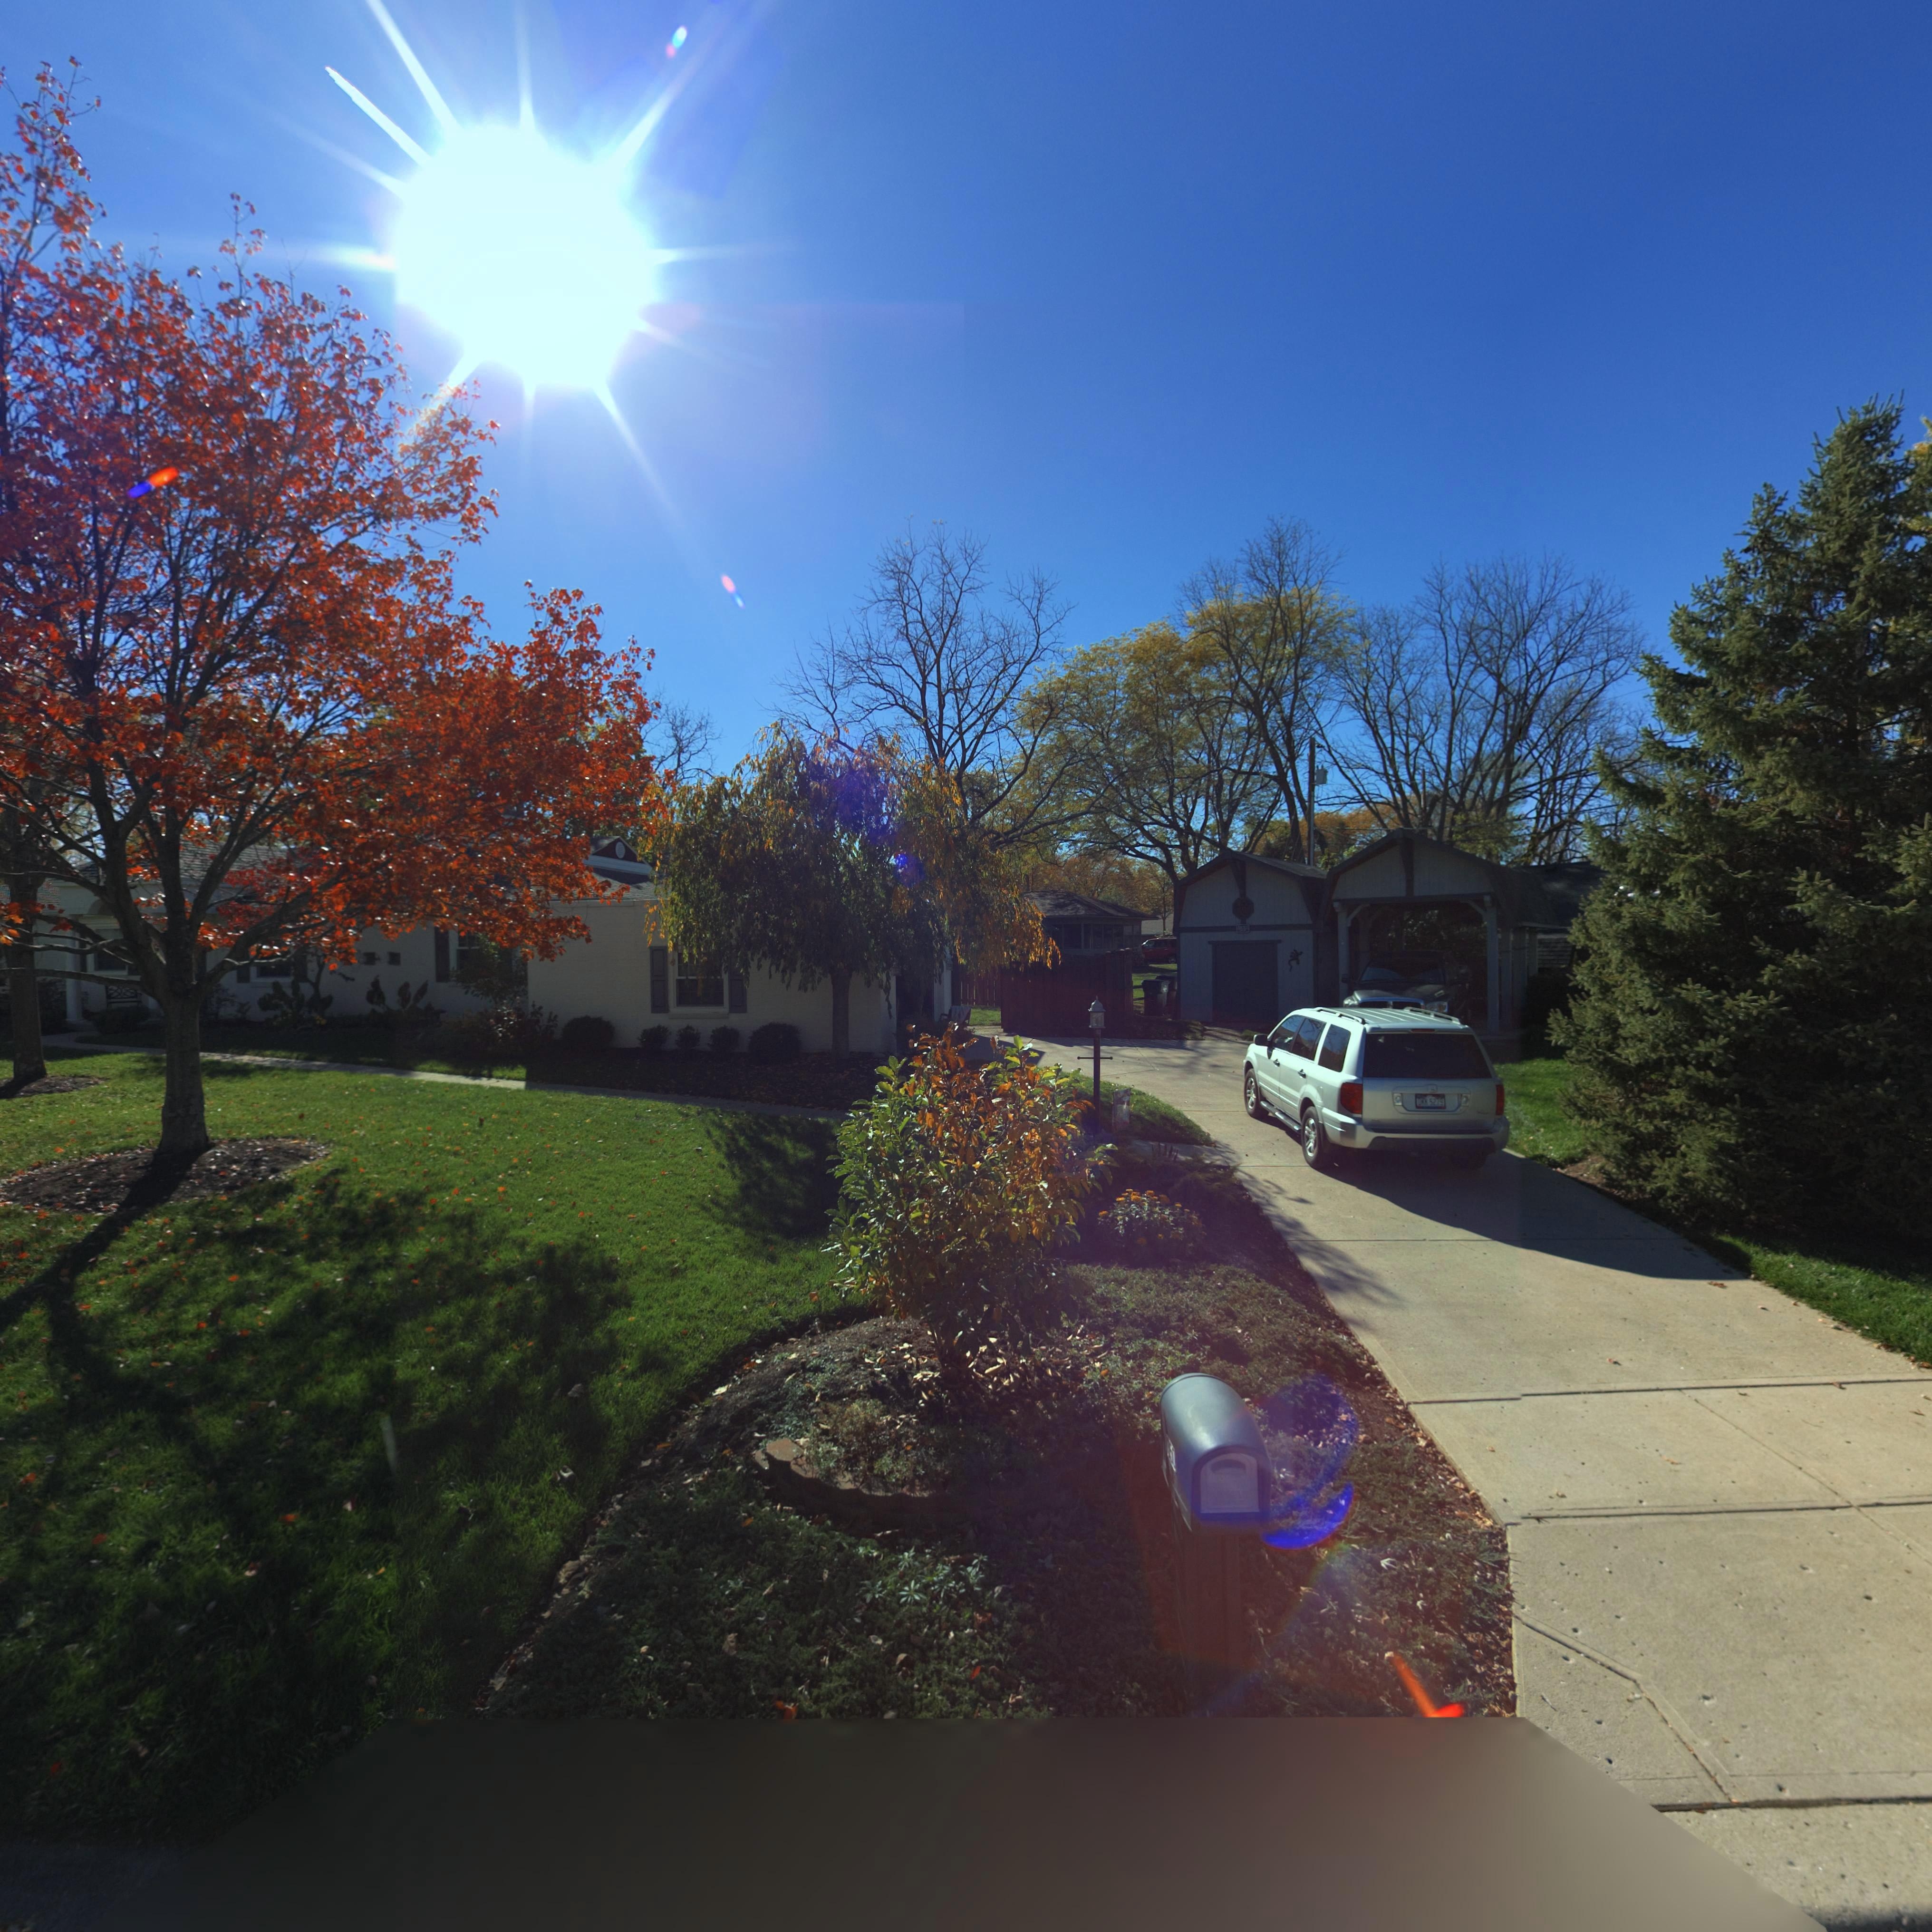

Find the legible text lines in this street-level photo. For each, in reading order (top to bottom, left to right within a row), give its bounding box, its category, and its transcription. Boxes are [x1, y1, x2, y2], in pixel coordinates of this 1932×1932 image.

[1417, 1097, 1444, 1107] None: D***5219
[1166, 1434, 1176, 1473] StreetNumber: *50